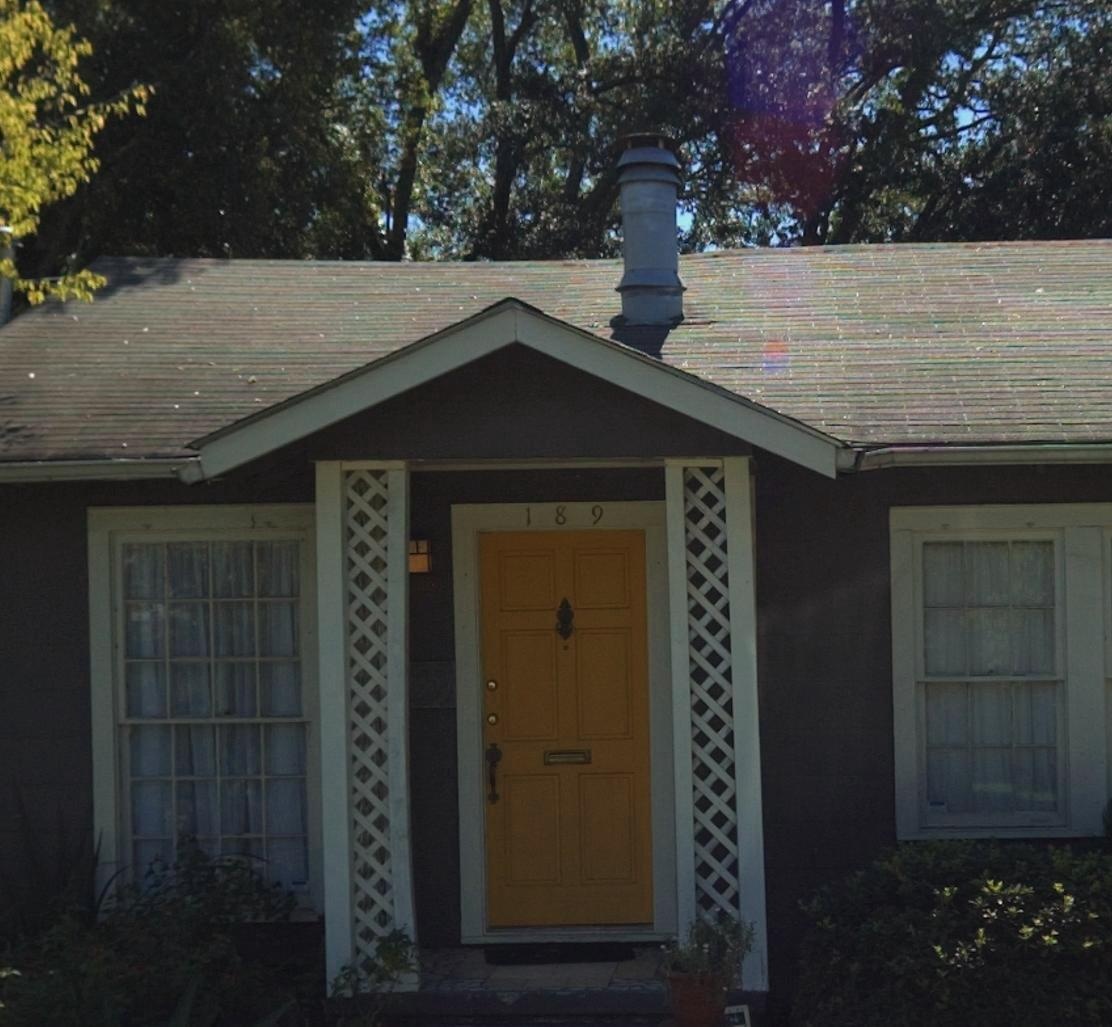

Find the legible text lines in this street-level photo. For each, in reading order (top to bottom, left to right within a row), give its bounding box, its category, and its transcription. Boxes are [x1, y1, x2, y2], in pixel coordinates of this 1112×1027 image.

[523, 504, 605, 527] StreetNumber: 189